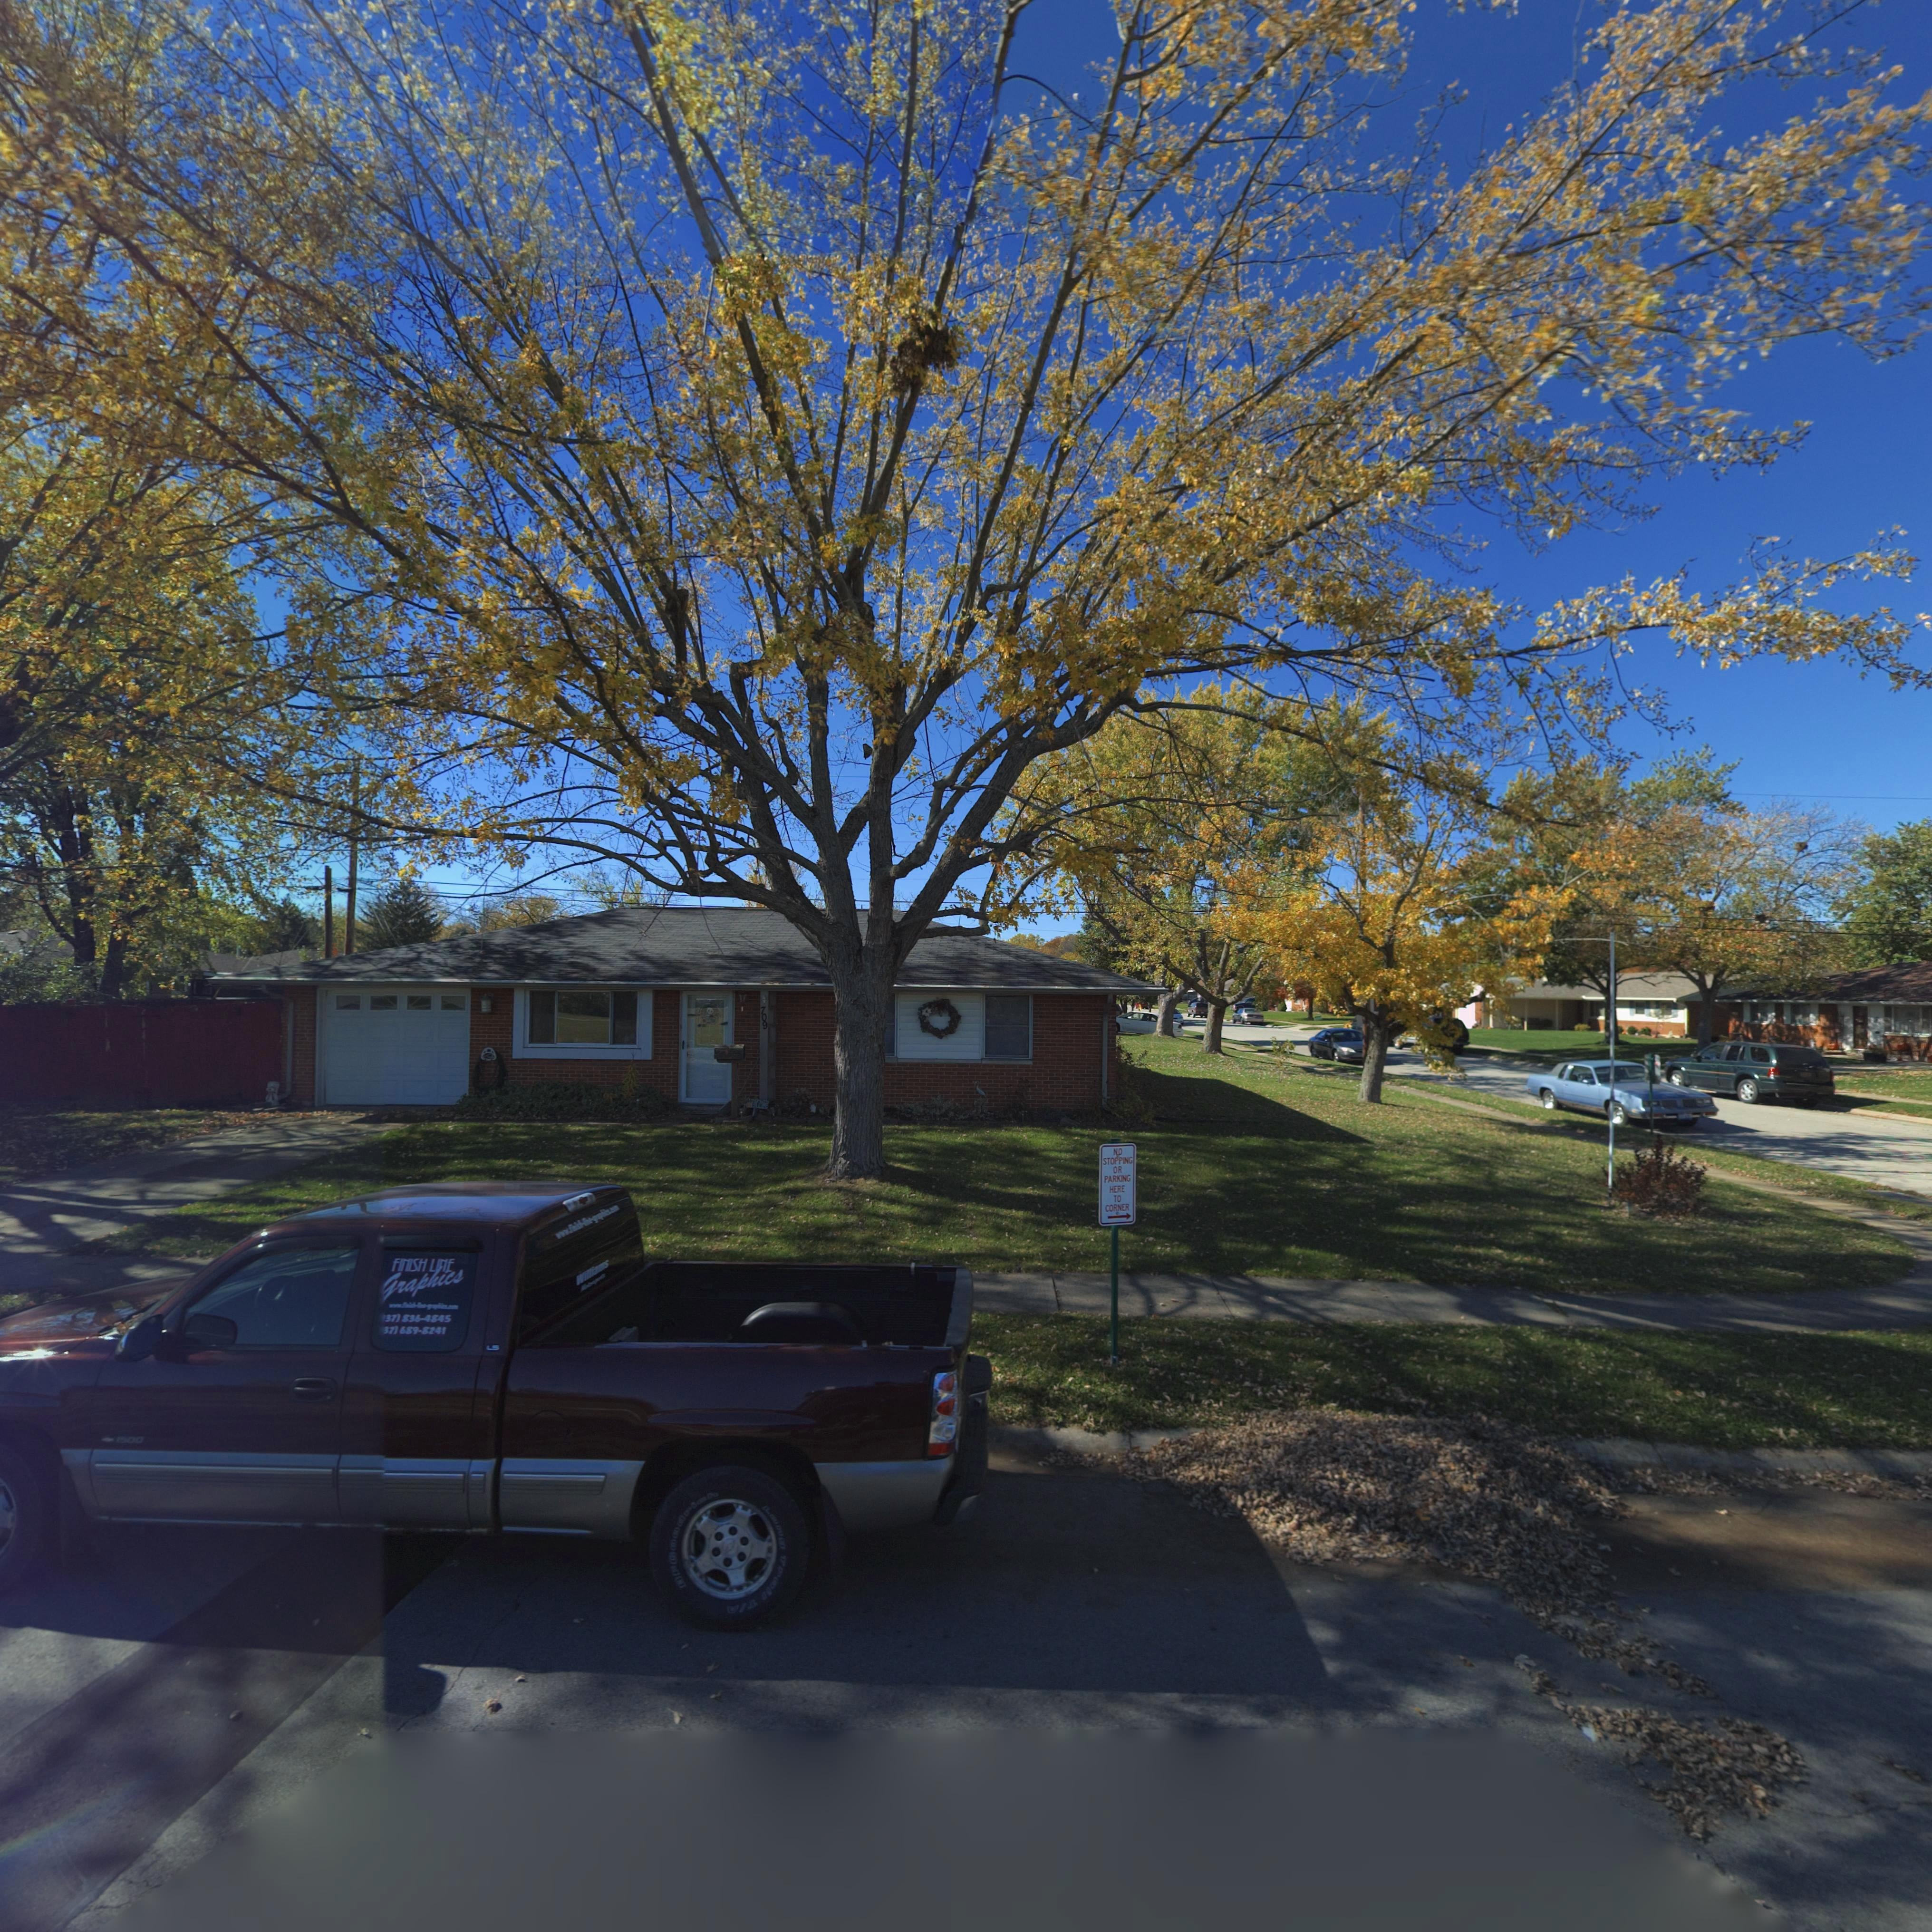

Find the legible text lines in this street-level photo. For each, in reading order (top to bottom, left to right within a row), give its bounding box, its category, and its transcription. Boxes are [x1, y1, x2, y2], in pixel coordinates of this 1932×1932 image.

[759, 1005, 768, 1031] StreetNumber: 709
[1112, 1148, 1123, 1156] None: NO
[1102, 1156, 1133, 1166] None: STOPPING
[1113, 1166, 1123, 1174] None: OR
[1103, 1174, 1131, 1184] None: PARKING
[1109, 1184, 1126, 1194] None: HERE
[1112, 1195, 1121, 1203] None: TO
[1105, 1203, 1130, 1213] None: CORNER
[553, 1204, 621, 1241] None: www.finish-line-graphics.com
[390, 1257, 456, 1273] None: fINISH LINE
[575, 1258, 609, 1287] None: Williams
[379, 1268, 464, 1306] None: Graphics
[387, 1301, 460, 1311] None: www.finish-line-graphics.com
[384, 1313, 453, 1324] None: 37) 836-4845
[383, 1325, 448, 1336] None: 37) 689-8241